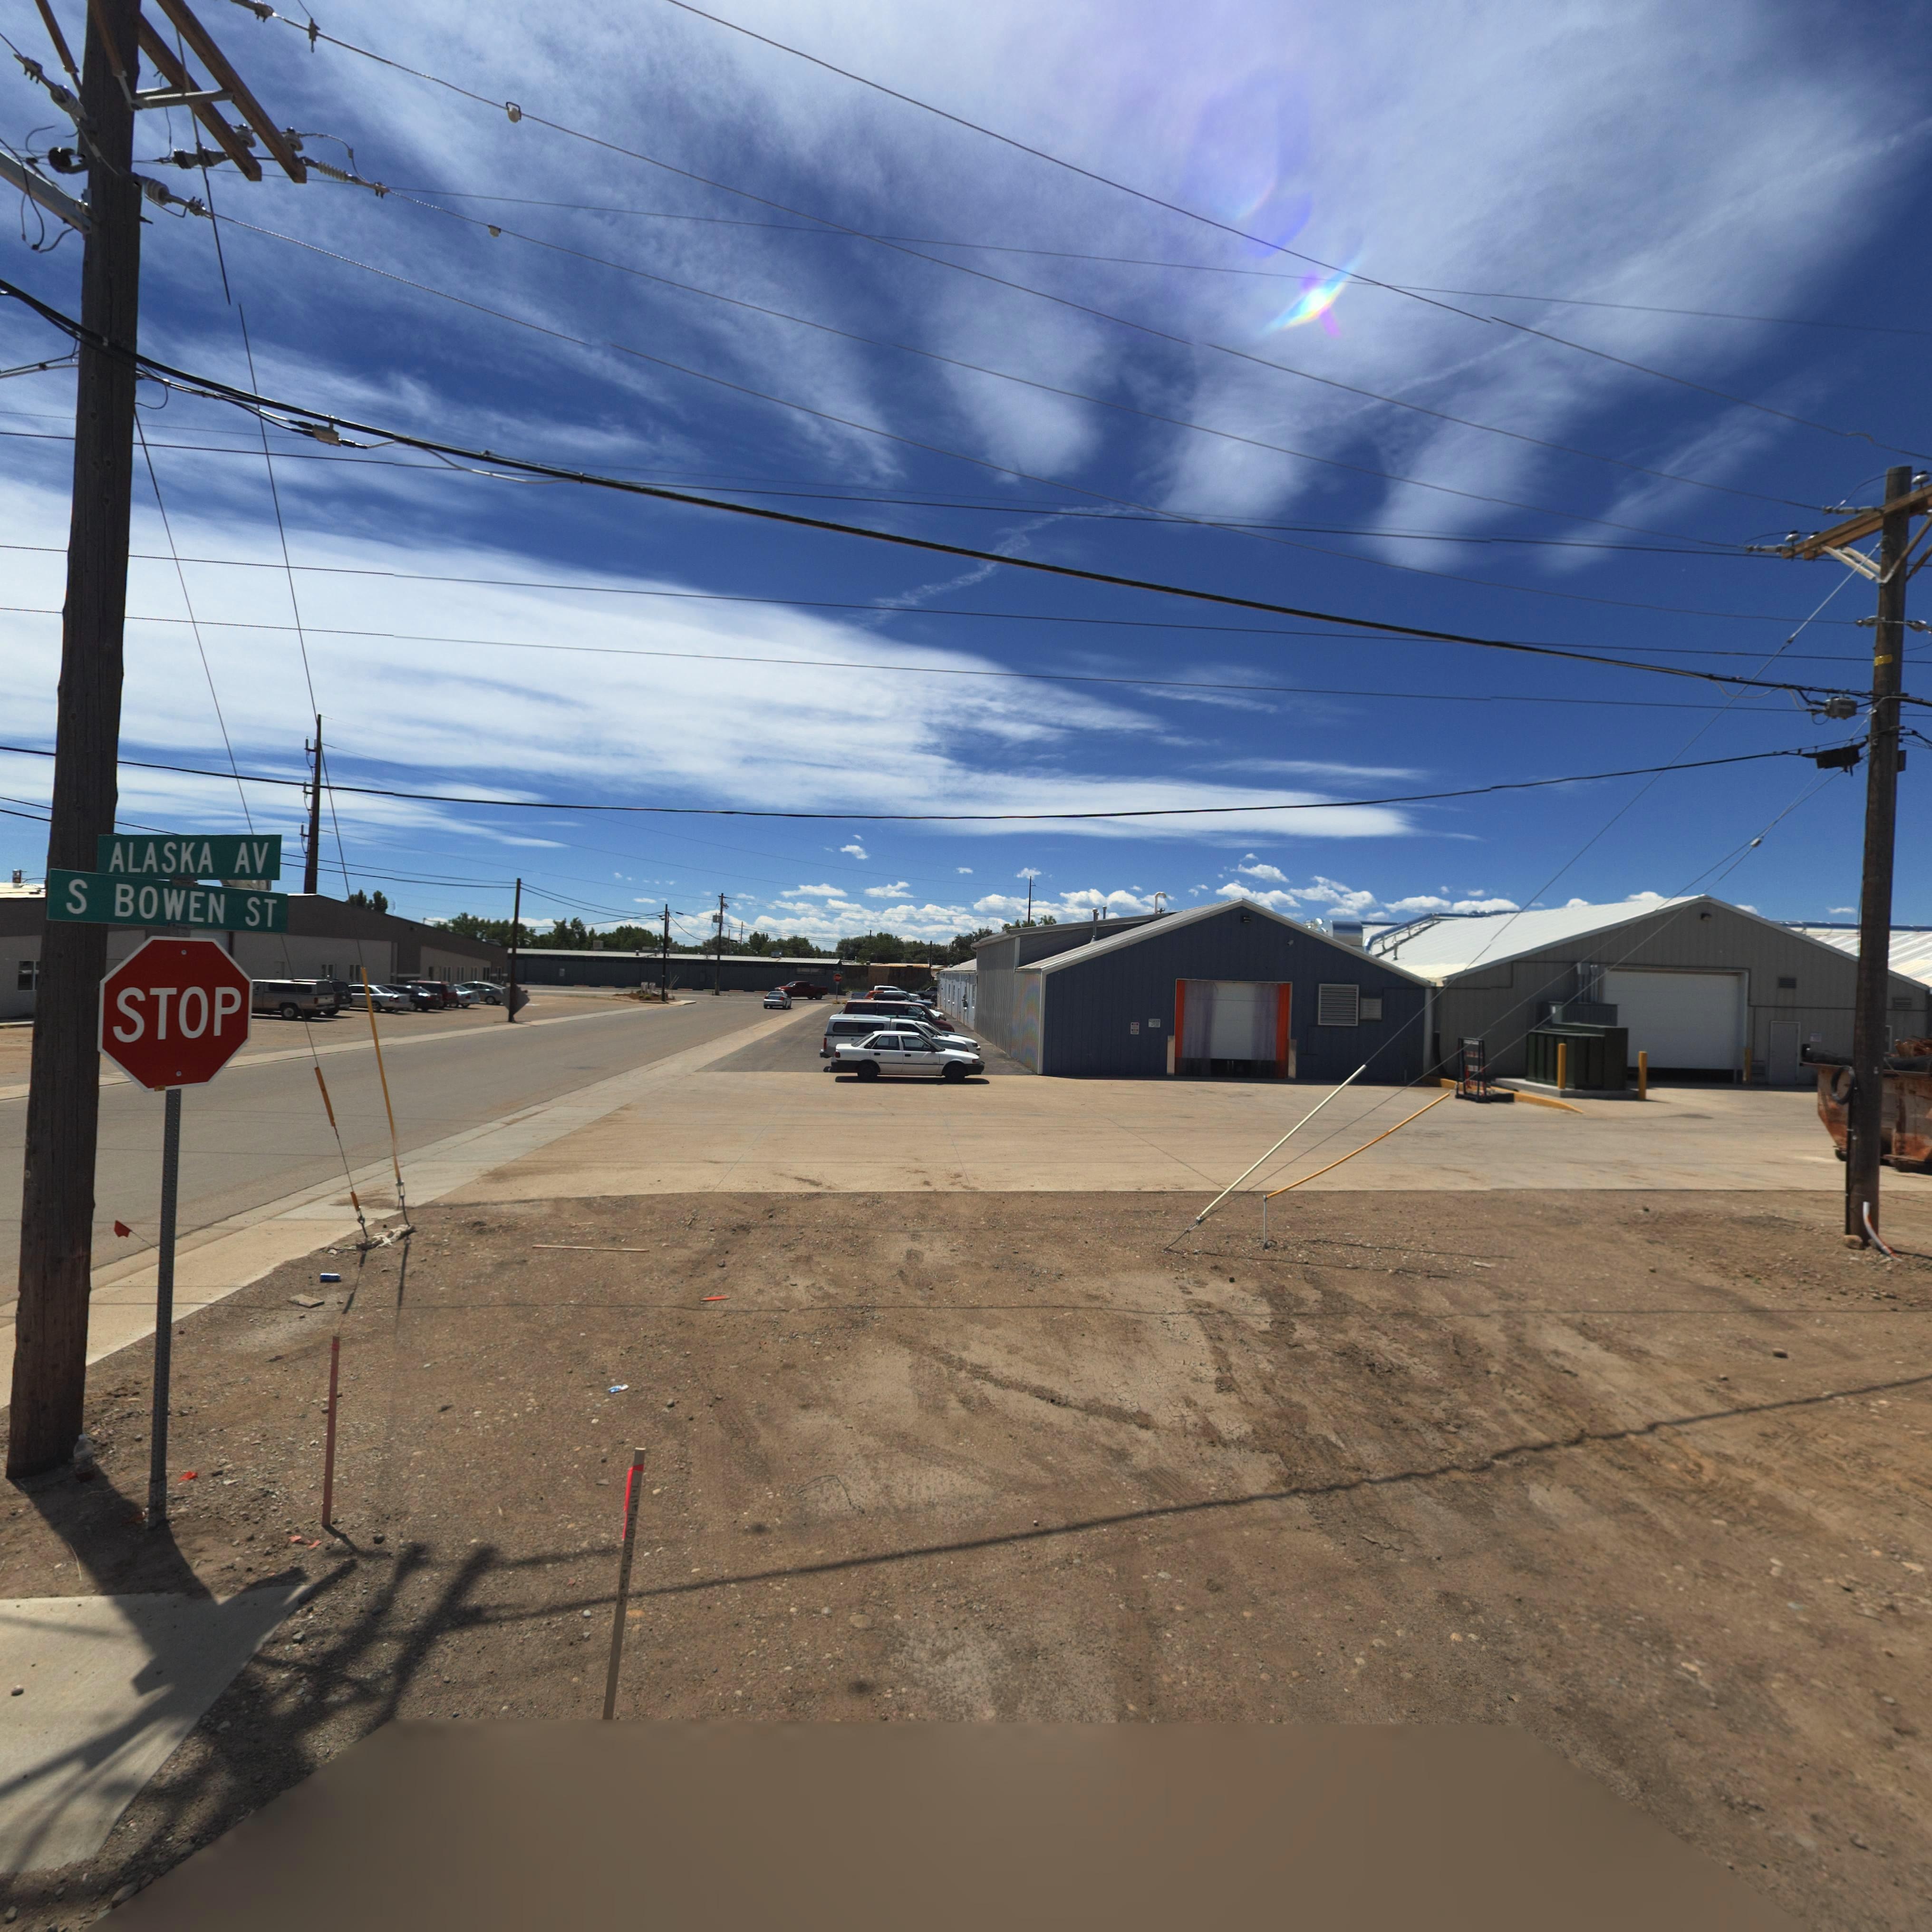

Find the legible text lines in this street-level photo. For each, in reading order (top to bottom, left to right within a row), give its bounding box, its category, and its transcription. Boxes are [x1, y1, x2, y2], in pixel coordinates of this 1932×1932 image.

[107, 840, 270, 874] StreetName: ALASKA AV
[65, 879, 280, 927] StreetName: S BOWEN ST